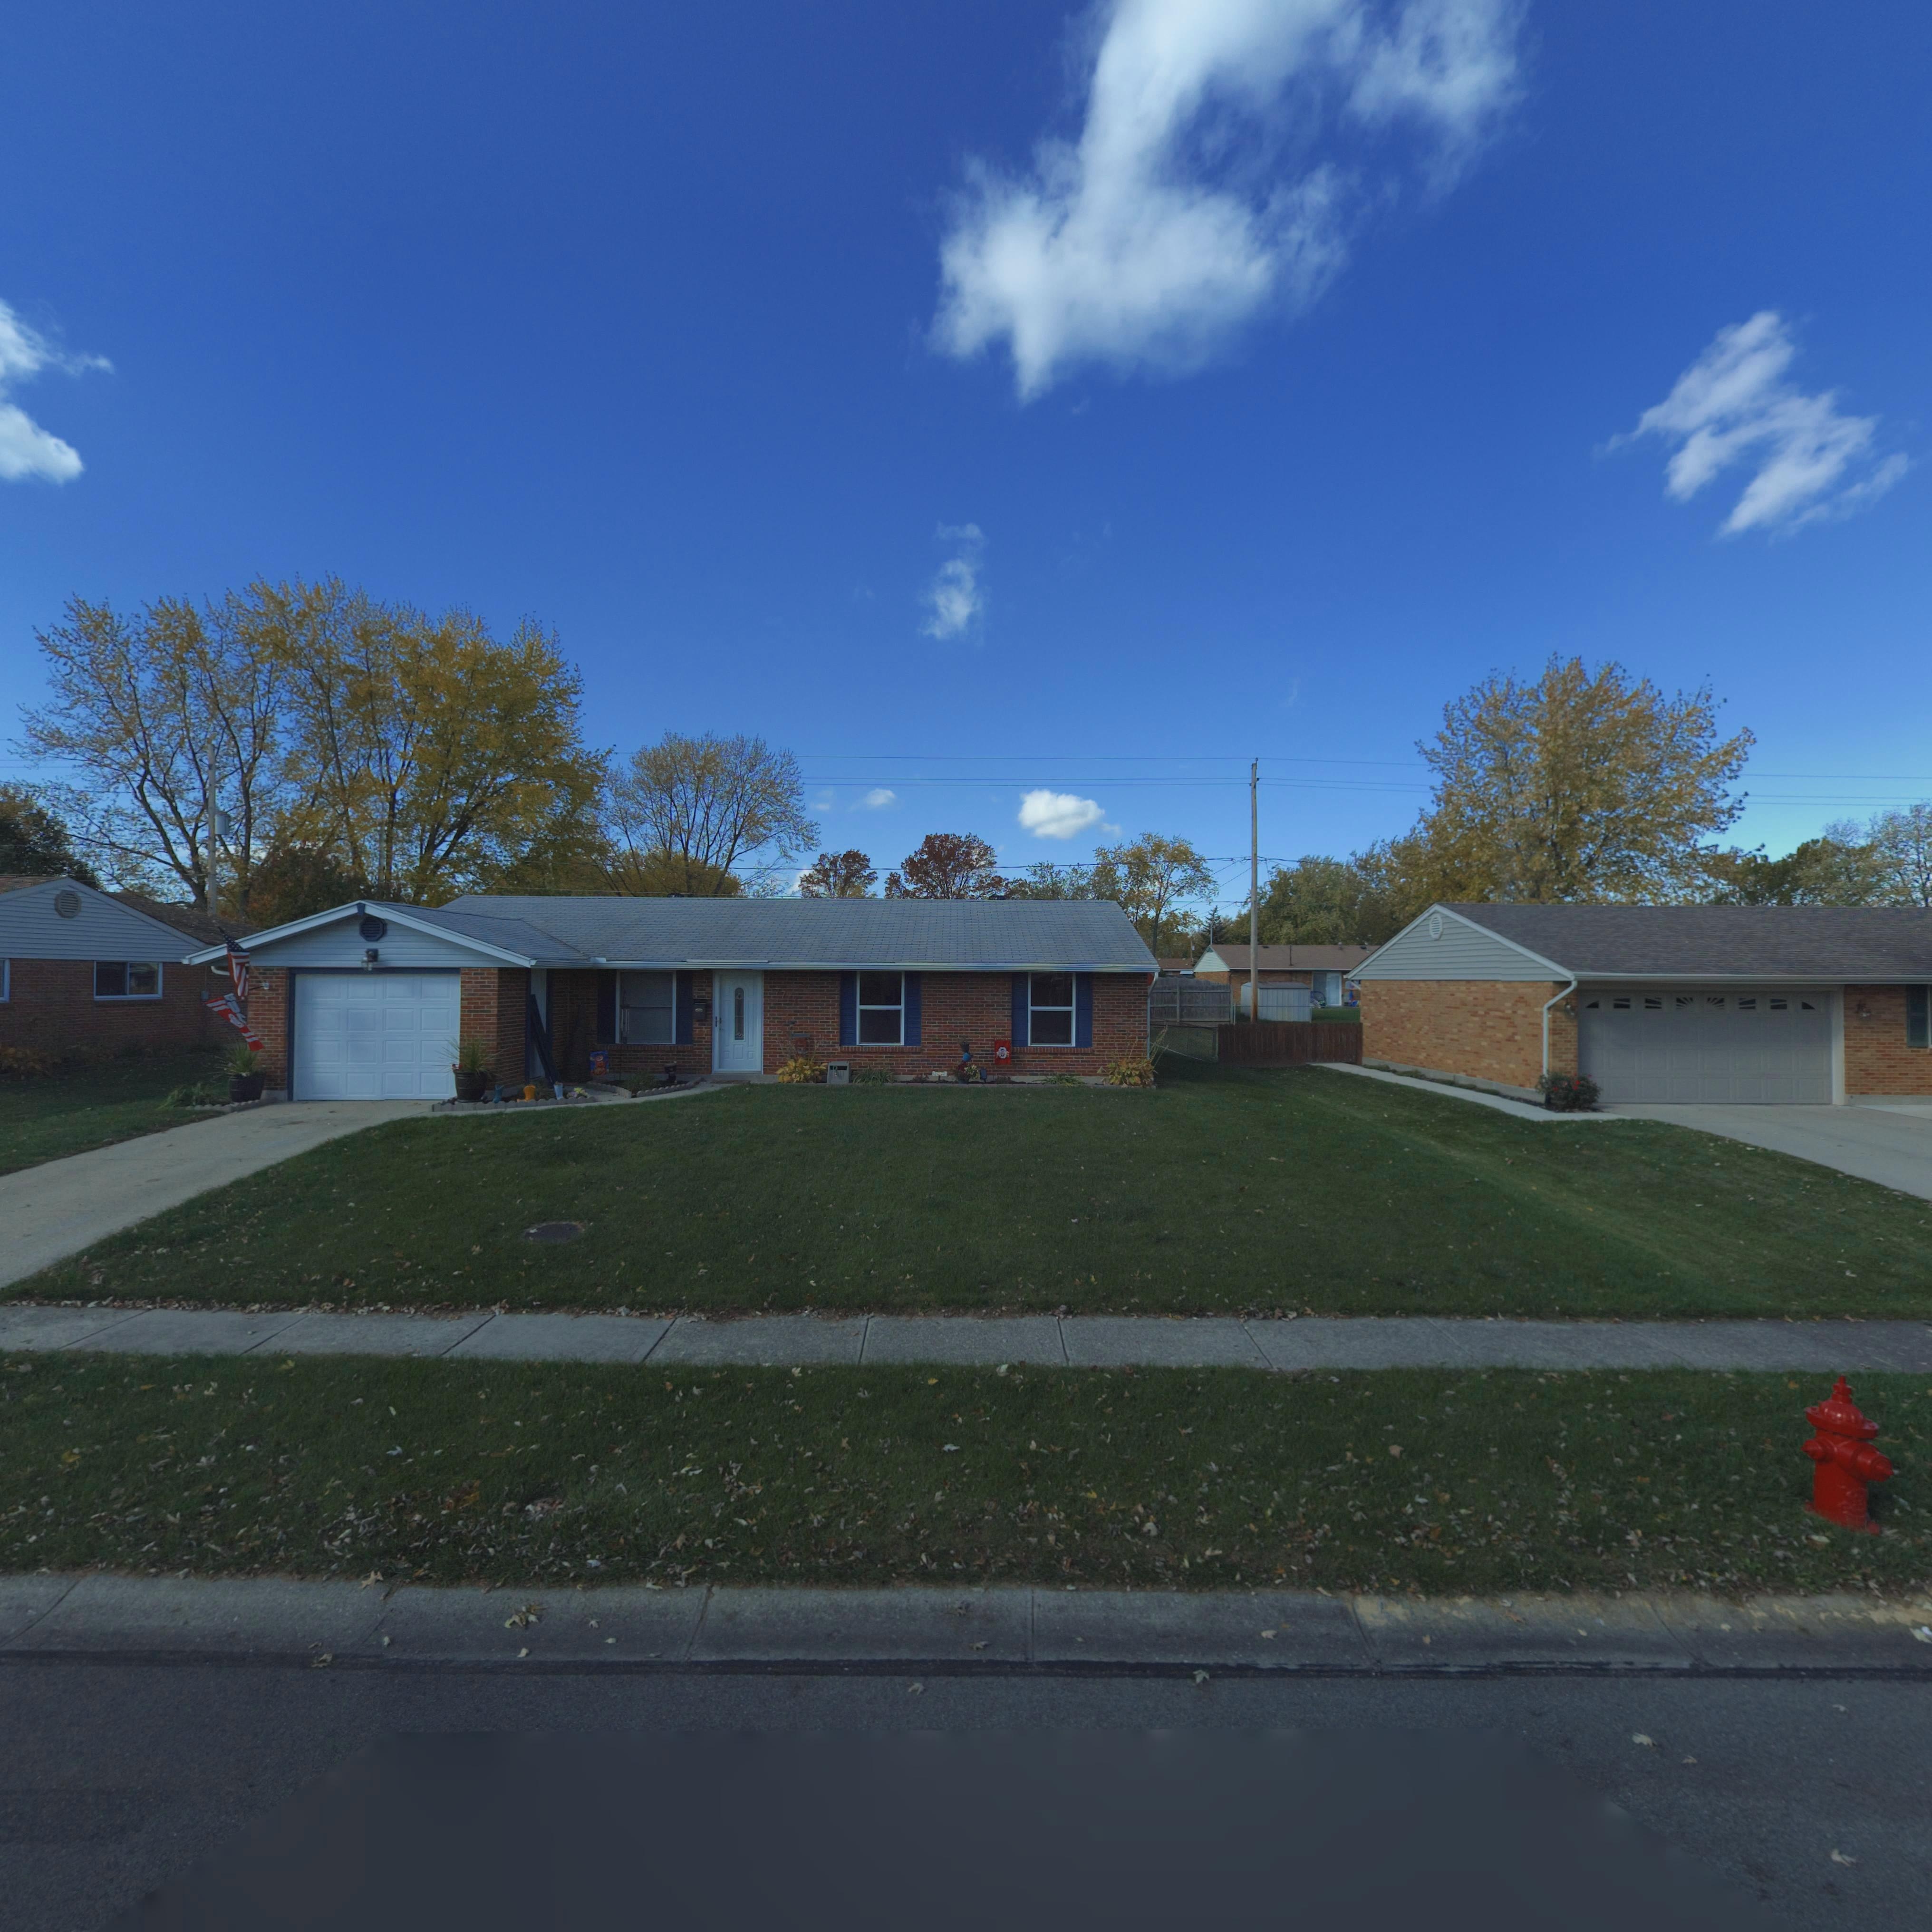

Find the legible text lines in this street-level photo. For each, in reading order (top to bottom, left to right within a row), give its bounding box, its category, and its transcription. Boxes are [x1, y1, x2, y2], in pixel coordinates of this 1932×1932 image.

[773, 986, 799, 1009] StreetNumber: *7**